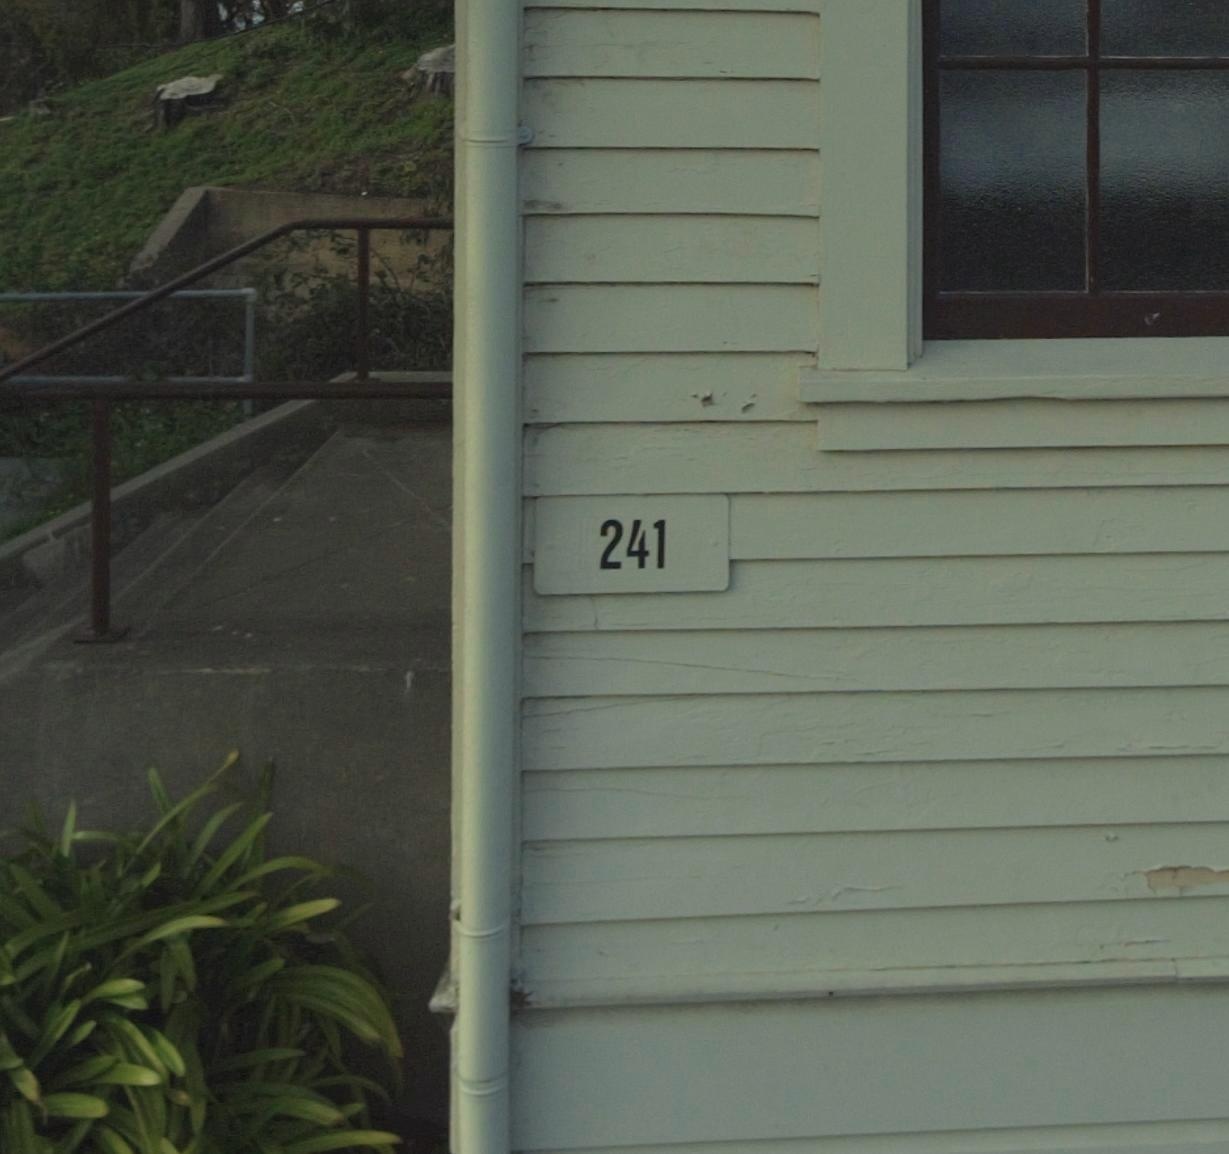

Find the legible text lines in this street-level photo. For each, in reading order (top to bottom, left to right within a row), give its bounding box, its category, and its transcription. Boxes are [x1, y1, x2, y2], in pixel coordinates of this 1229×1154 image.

[596, 515, 670, 575] StreetNumber: 241